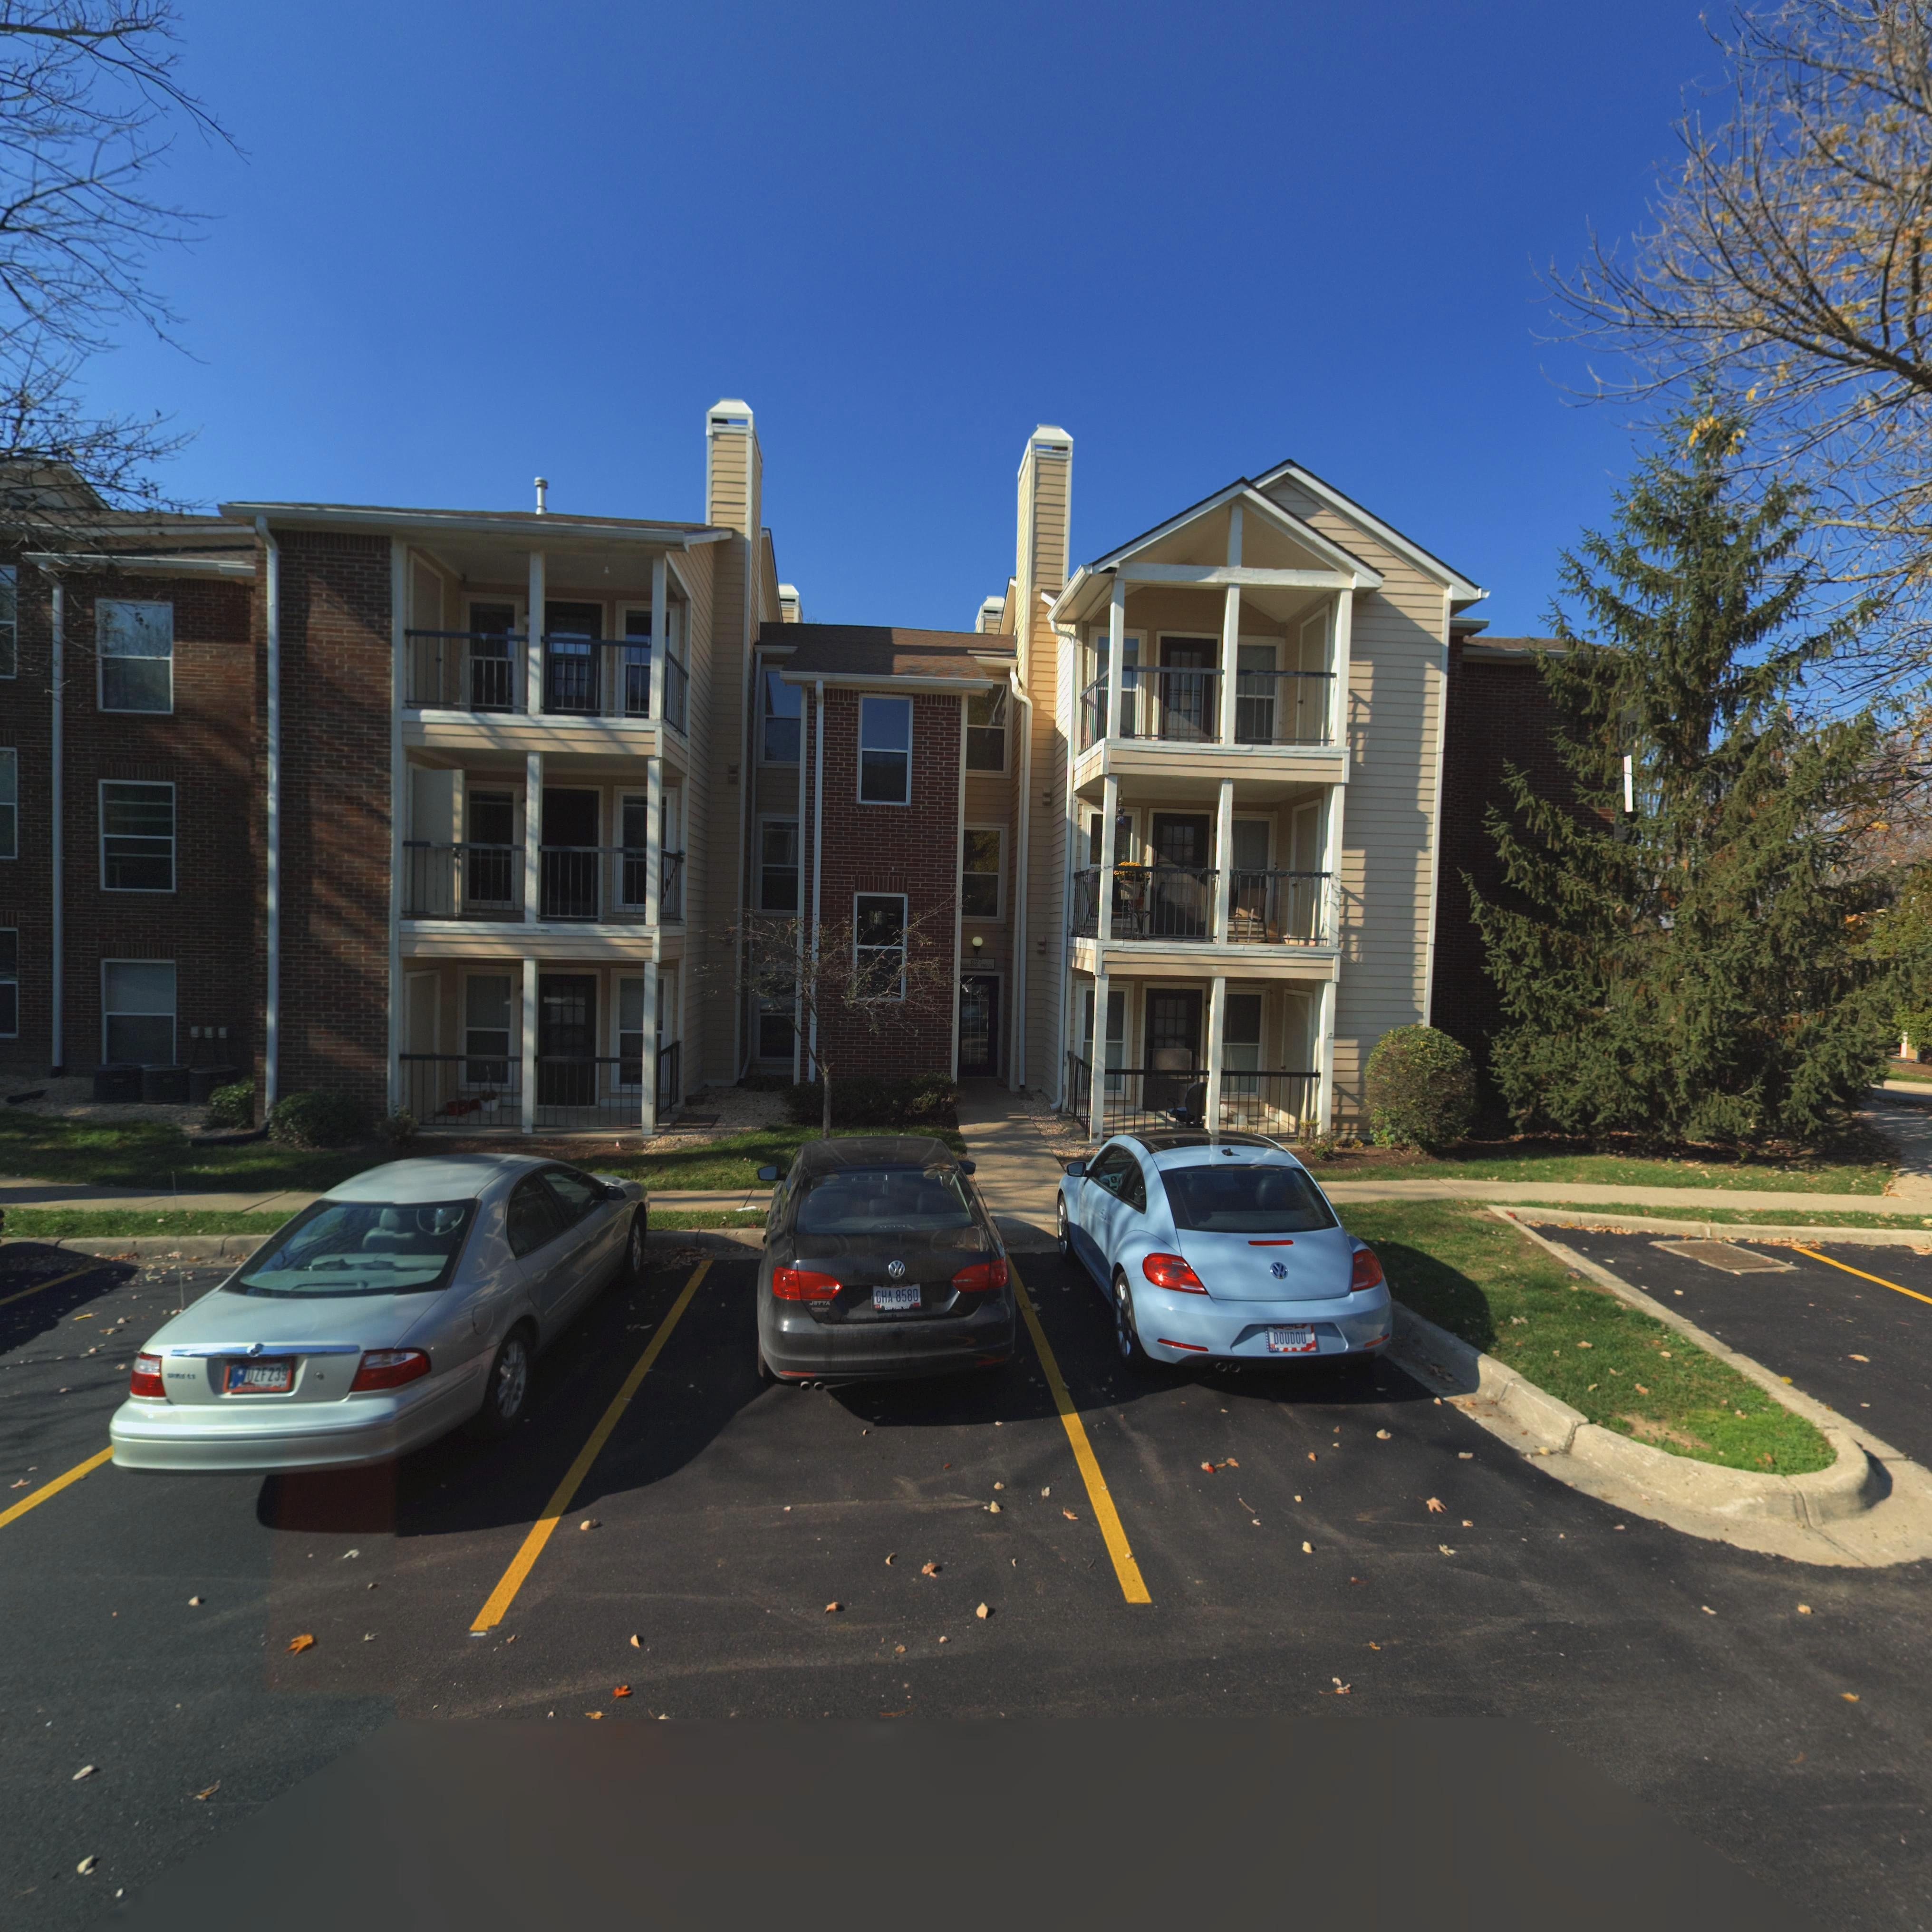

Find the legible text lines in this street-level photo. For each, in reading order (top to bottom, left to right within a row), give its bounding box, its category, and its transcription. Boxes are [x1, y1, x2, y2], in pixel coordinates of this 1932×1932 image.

[970, 957, 984, 965] StreetNumber: 697
[808, 1300, 832, 1307] None: J*TTA
[874, 1287, 919, 1304] None: GHA 8580
[1272, 1330, 1307, 1346] None: DOUDOU
[246, 1365, 289, 1383] None: UZF239